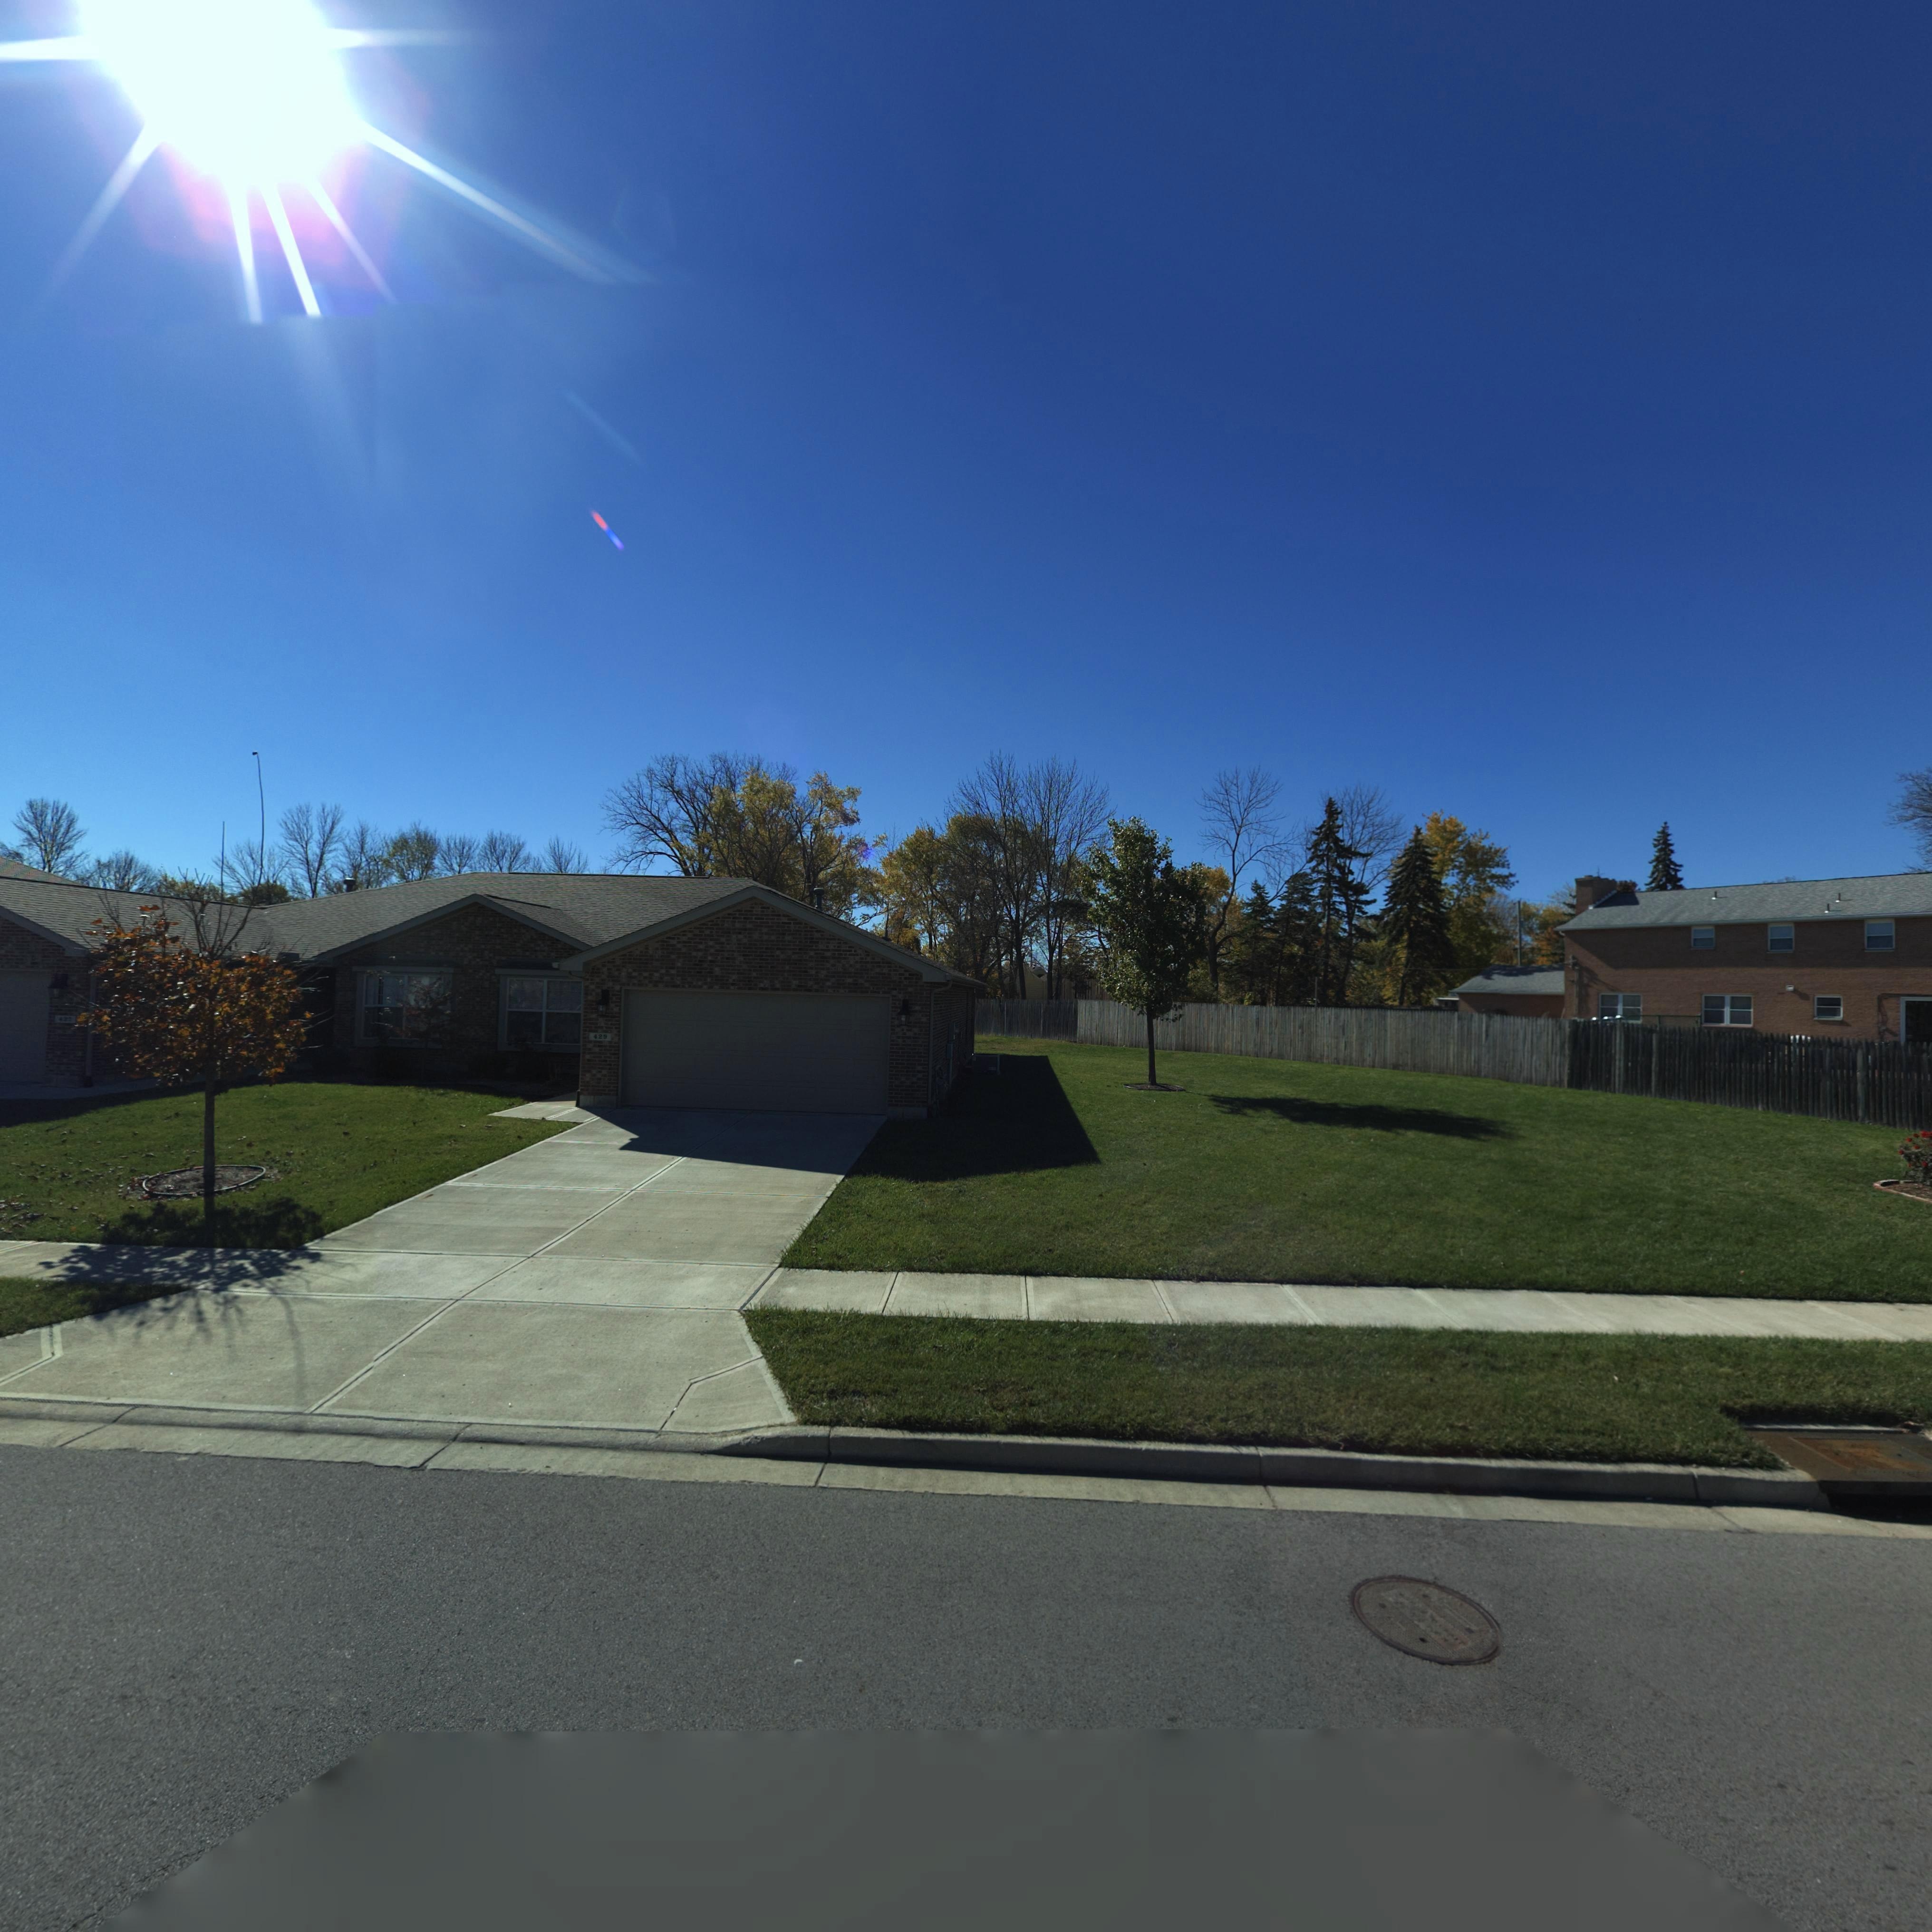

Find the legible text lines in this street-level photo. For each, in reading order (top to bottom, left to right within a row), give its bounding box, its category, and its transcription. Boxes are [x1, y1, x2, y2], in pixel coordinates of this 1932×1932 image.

[592, 1033, 608, 1040] StreetNumber: 429